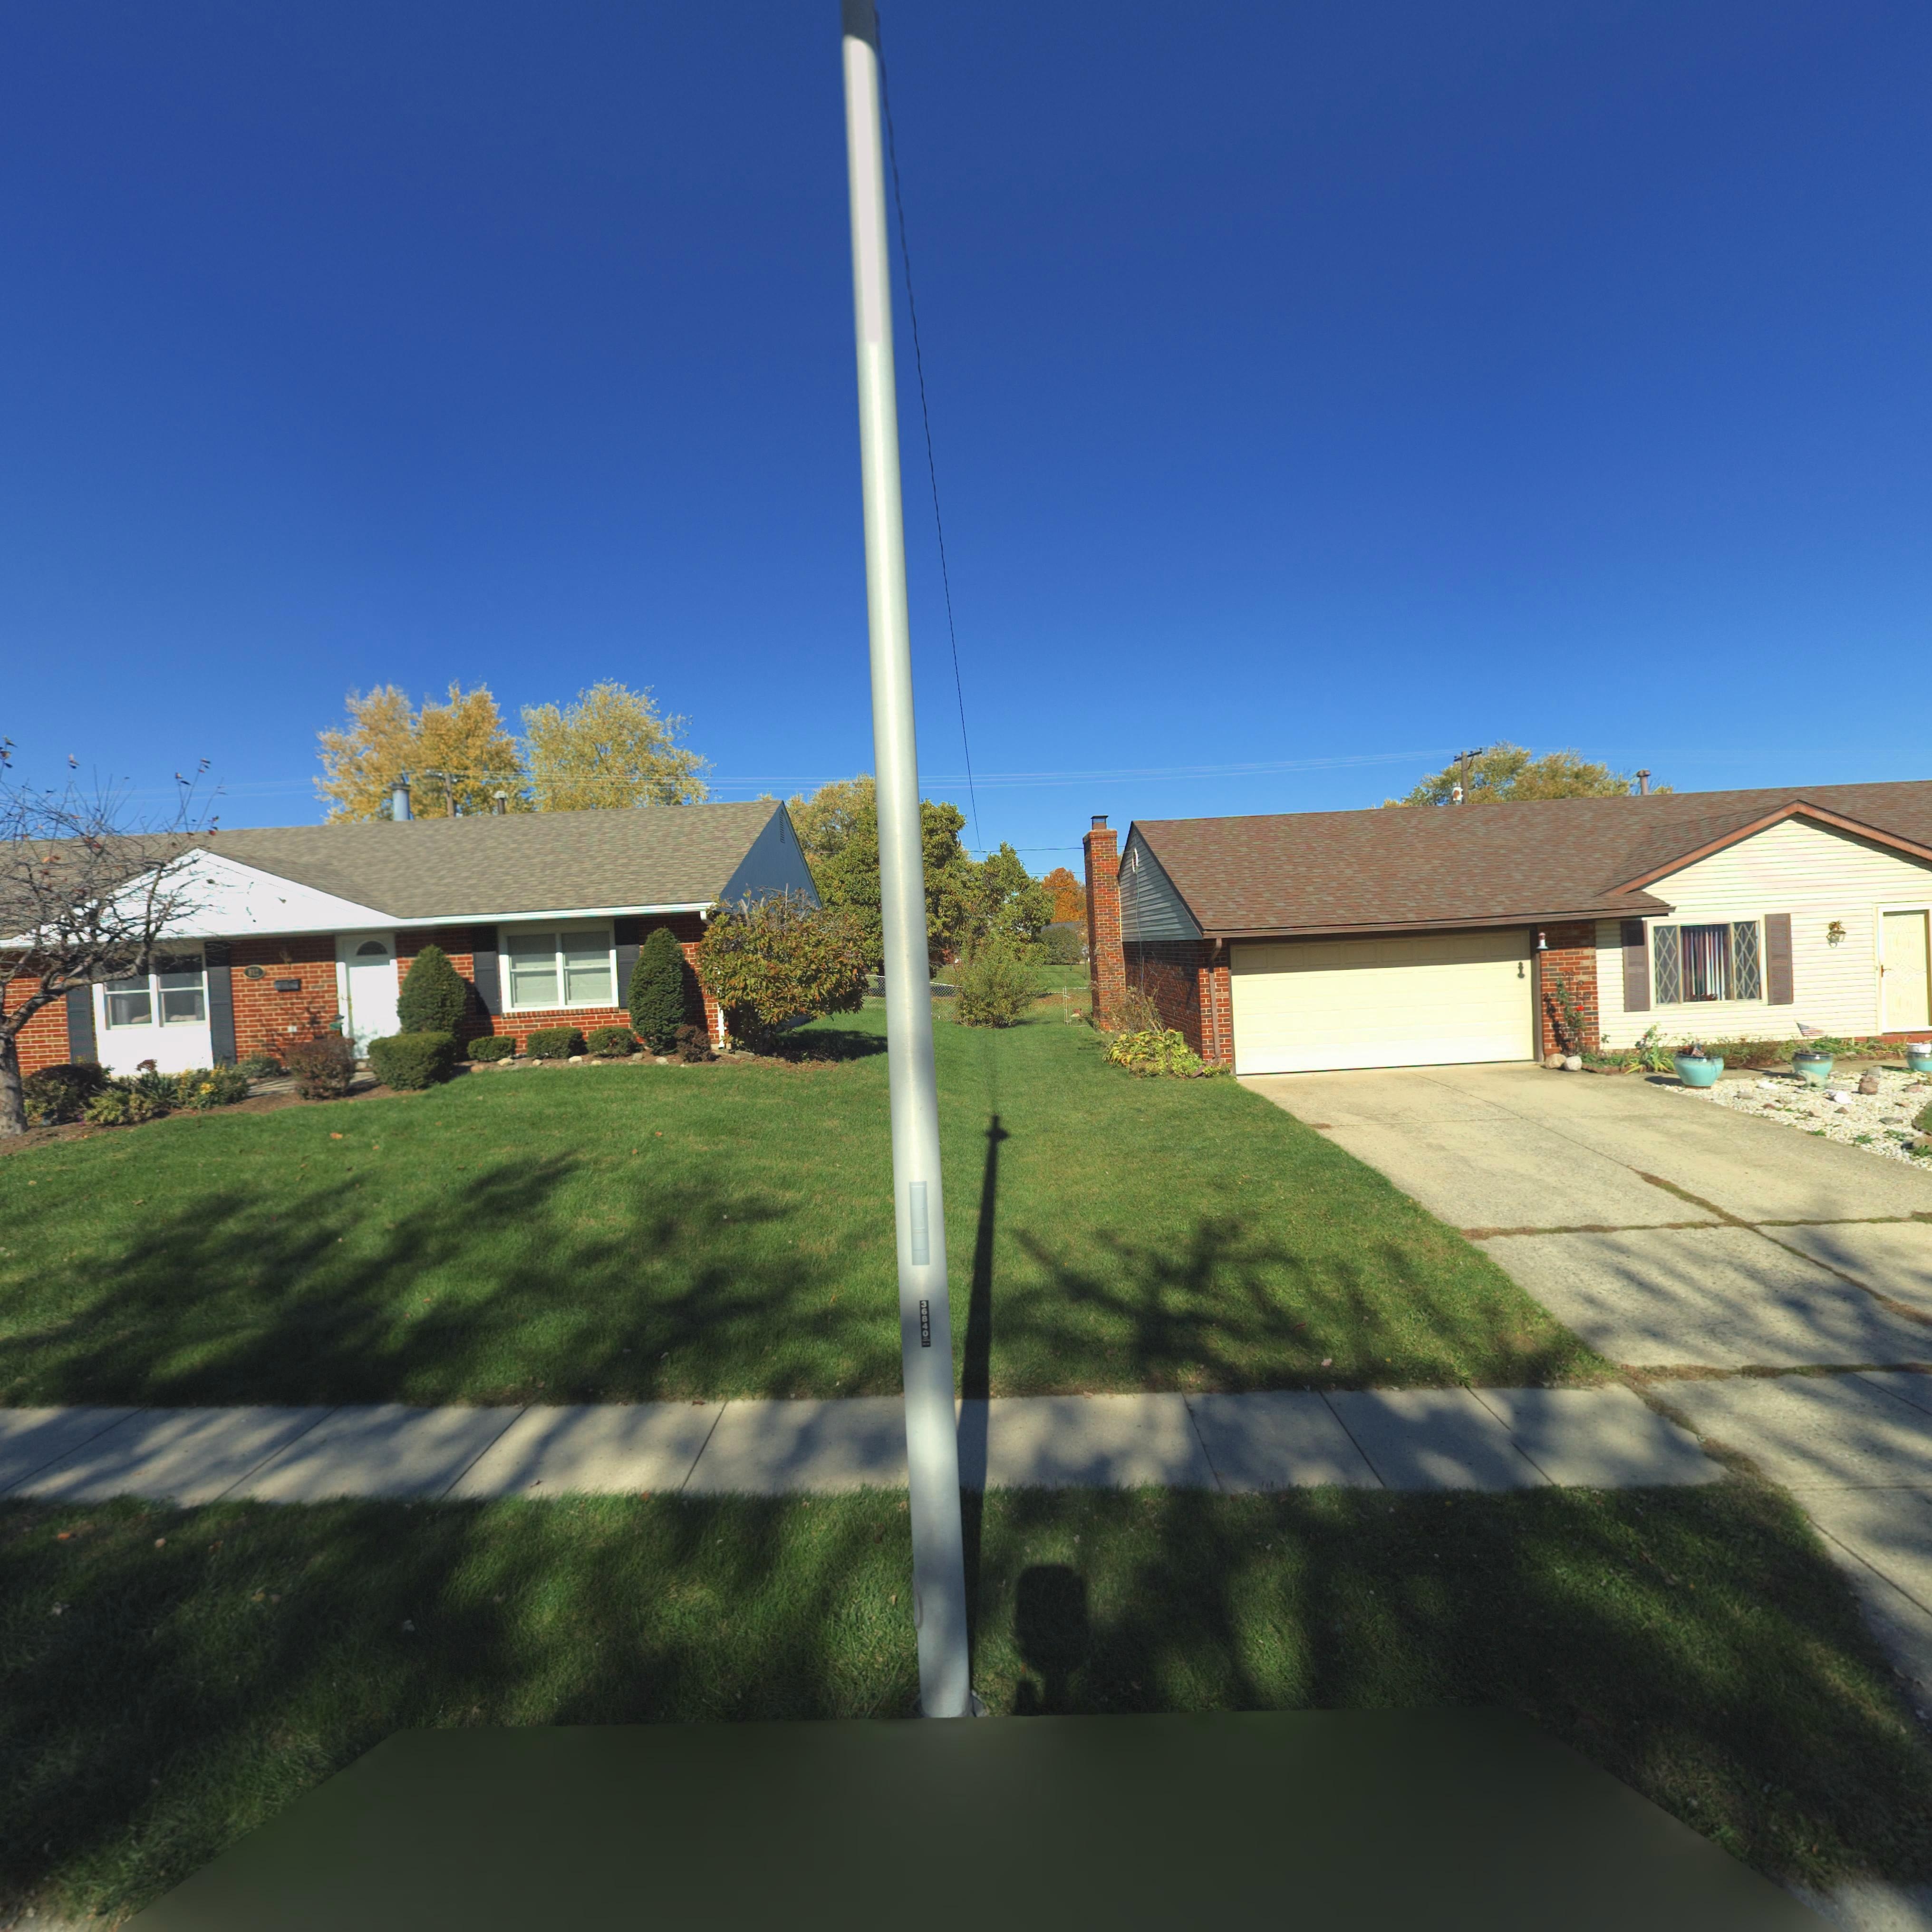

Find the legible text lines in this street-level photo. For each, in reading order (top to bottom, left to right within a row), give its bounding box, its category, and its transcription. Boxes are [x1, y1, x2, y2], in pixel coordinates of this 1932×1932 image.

[248, 968, 260, 976] StreetNumber: 812